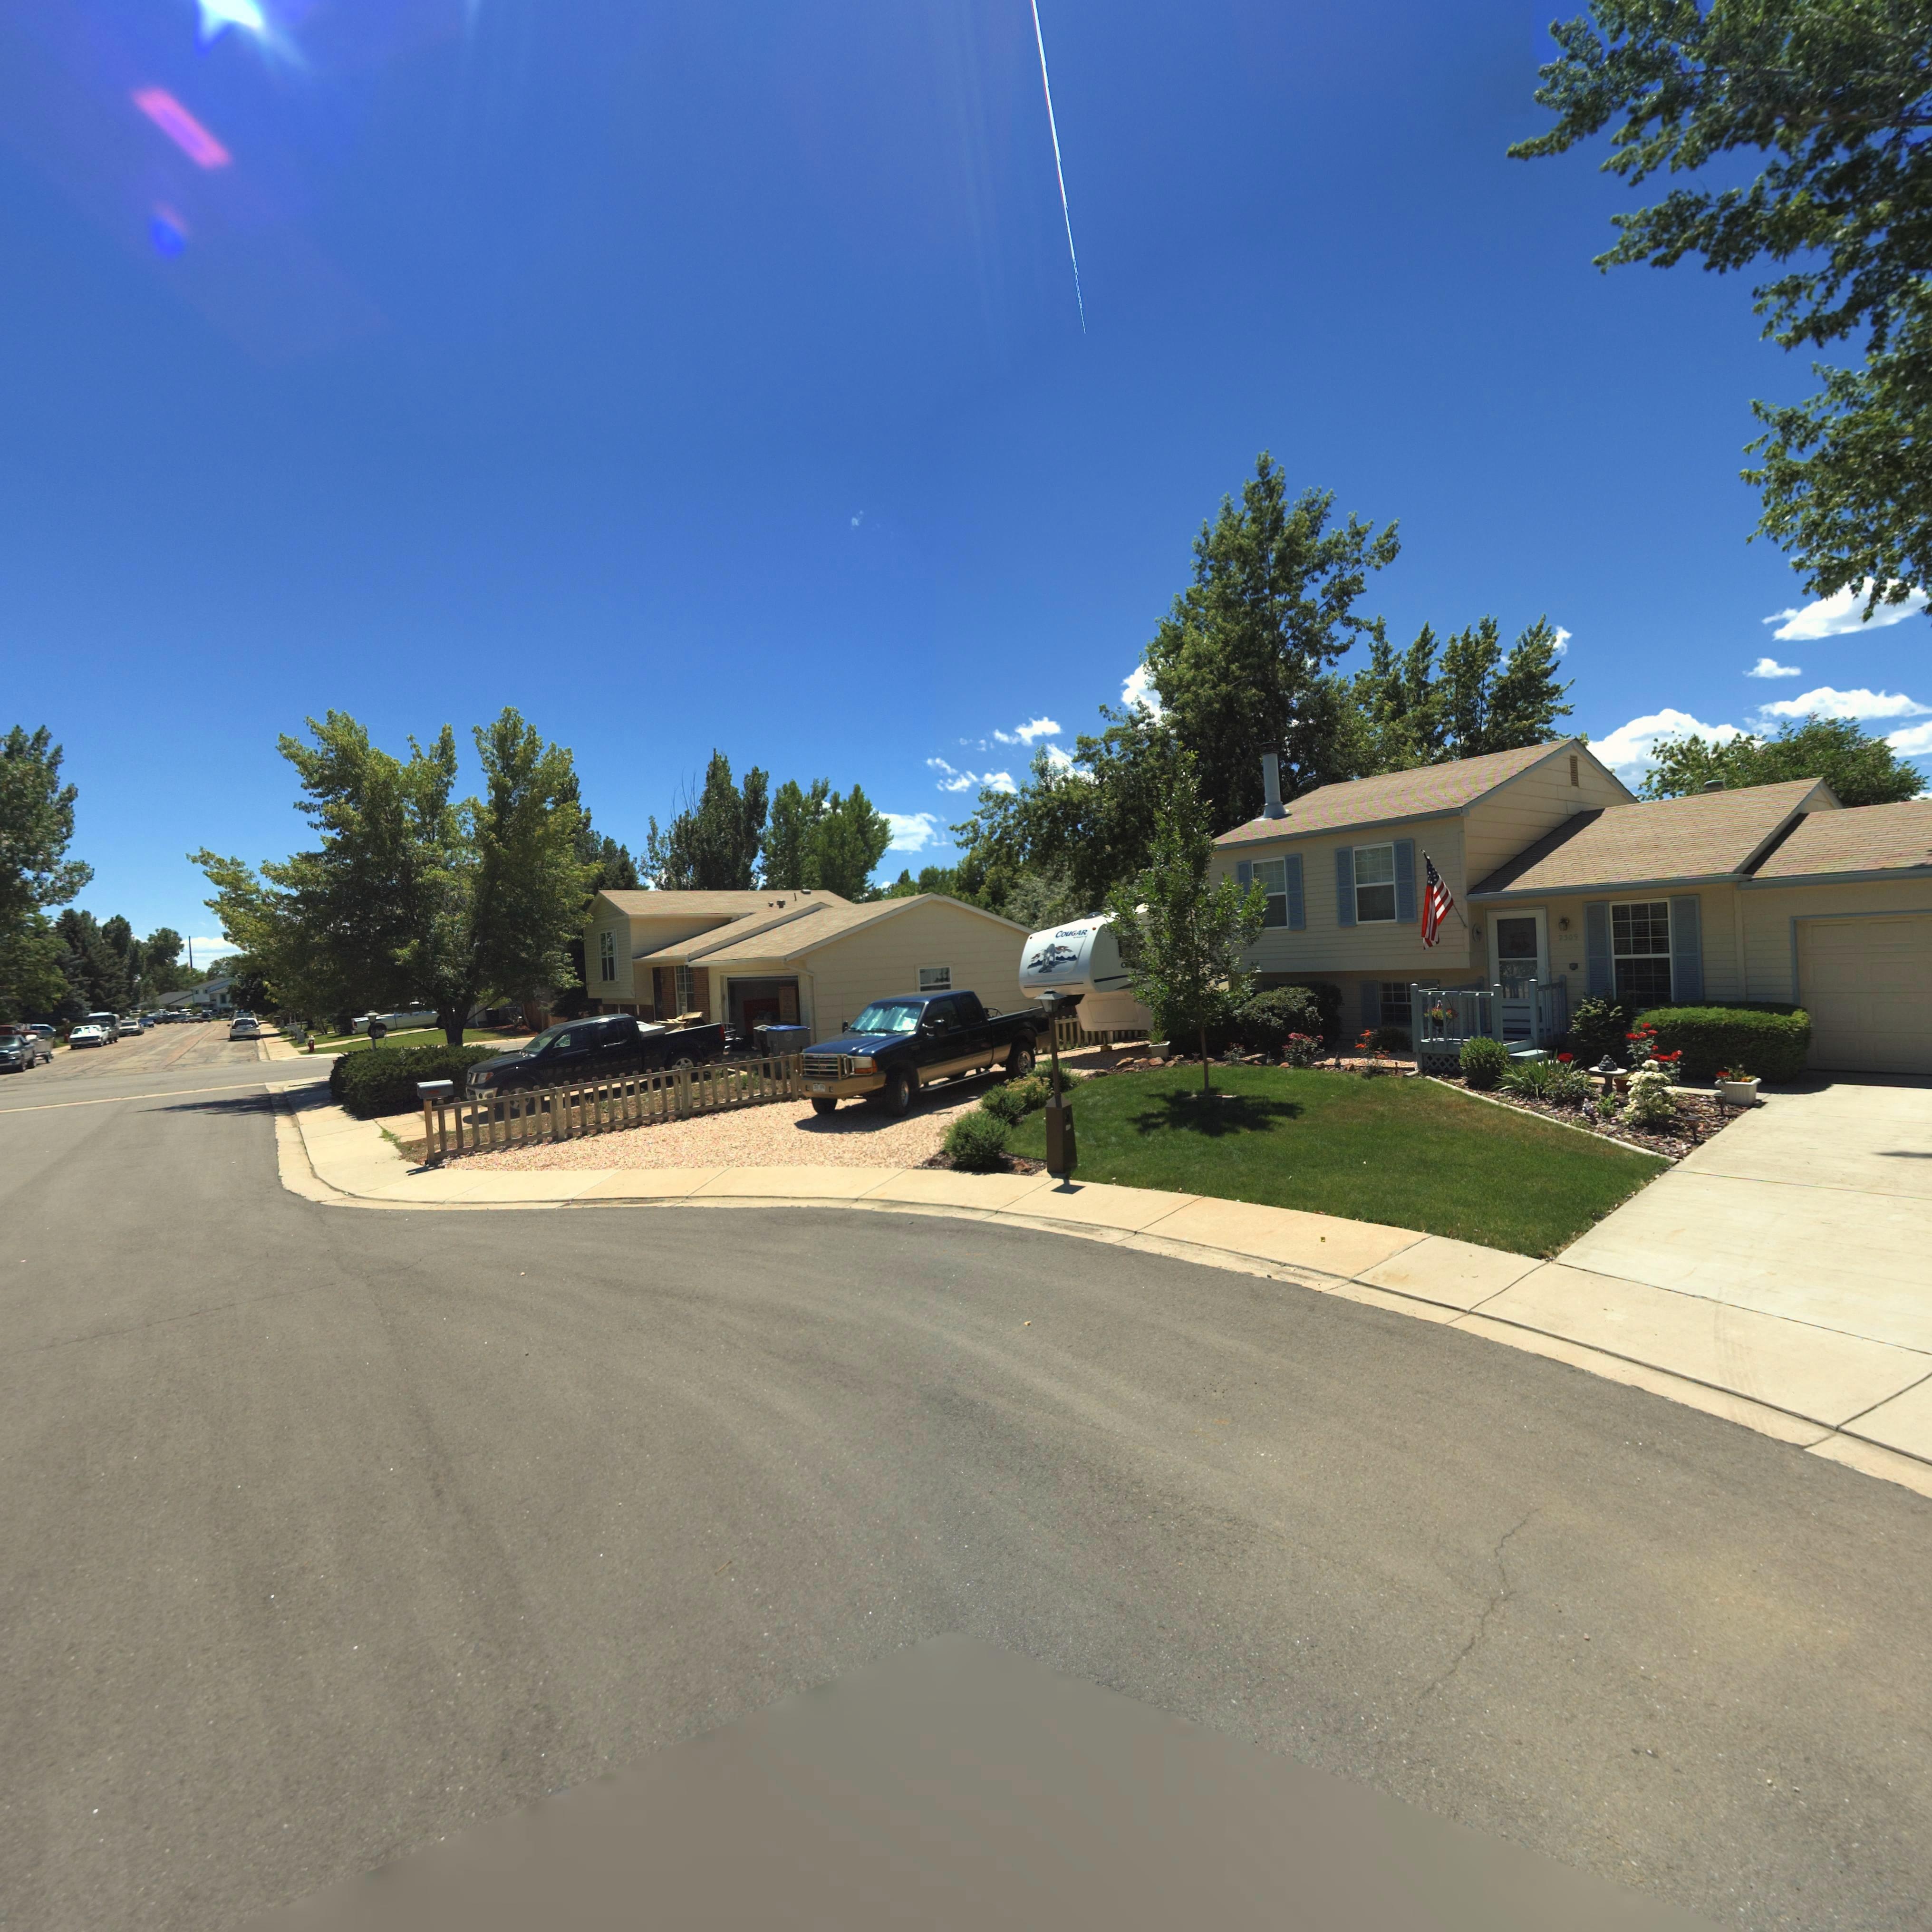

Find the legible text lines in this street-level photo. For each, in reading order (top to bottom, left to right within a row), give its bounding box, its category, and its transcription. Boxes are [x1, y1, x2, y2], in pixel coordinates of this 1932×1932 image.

[1559, 934, 1578, 941] StreetNumber: 2309